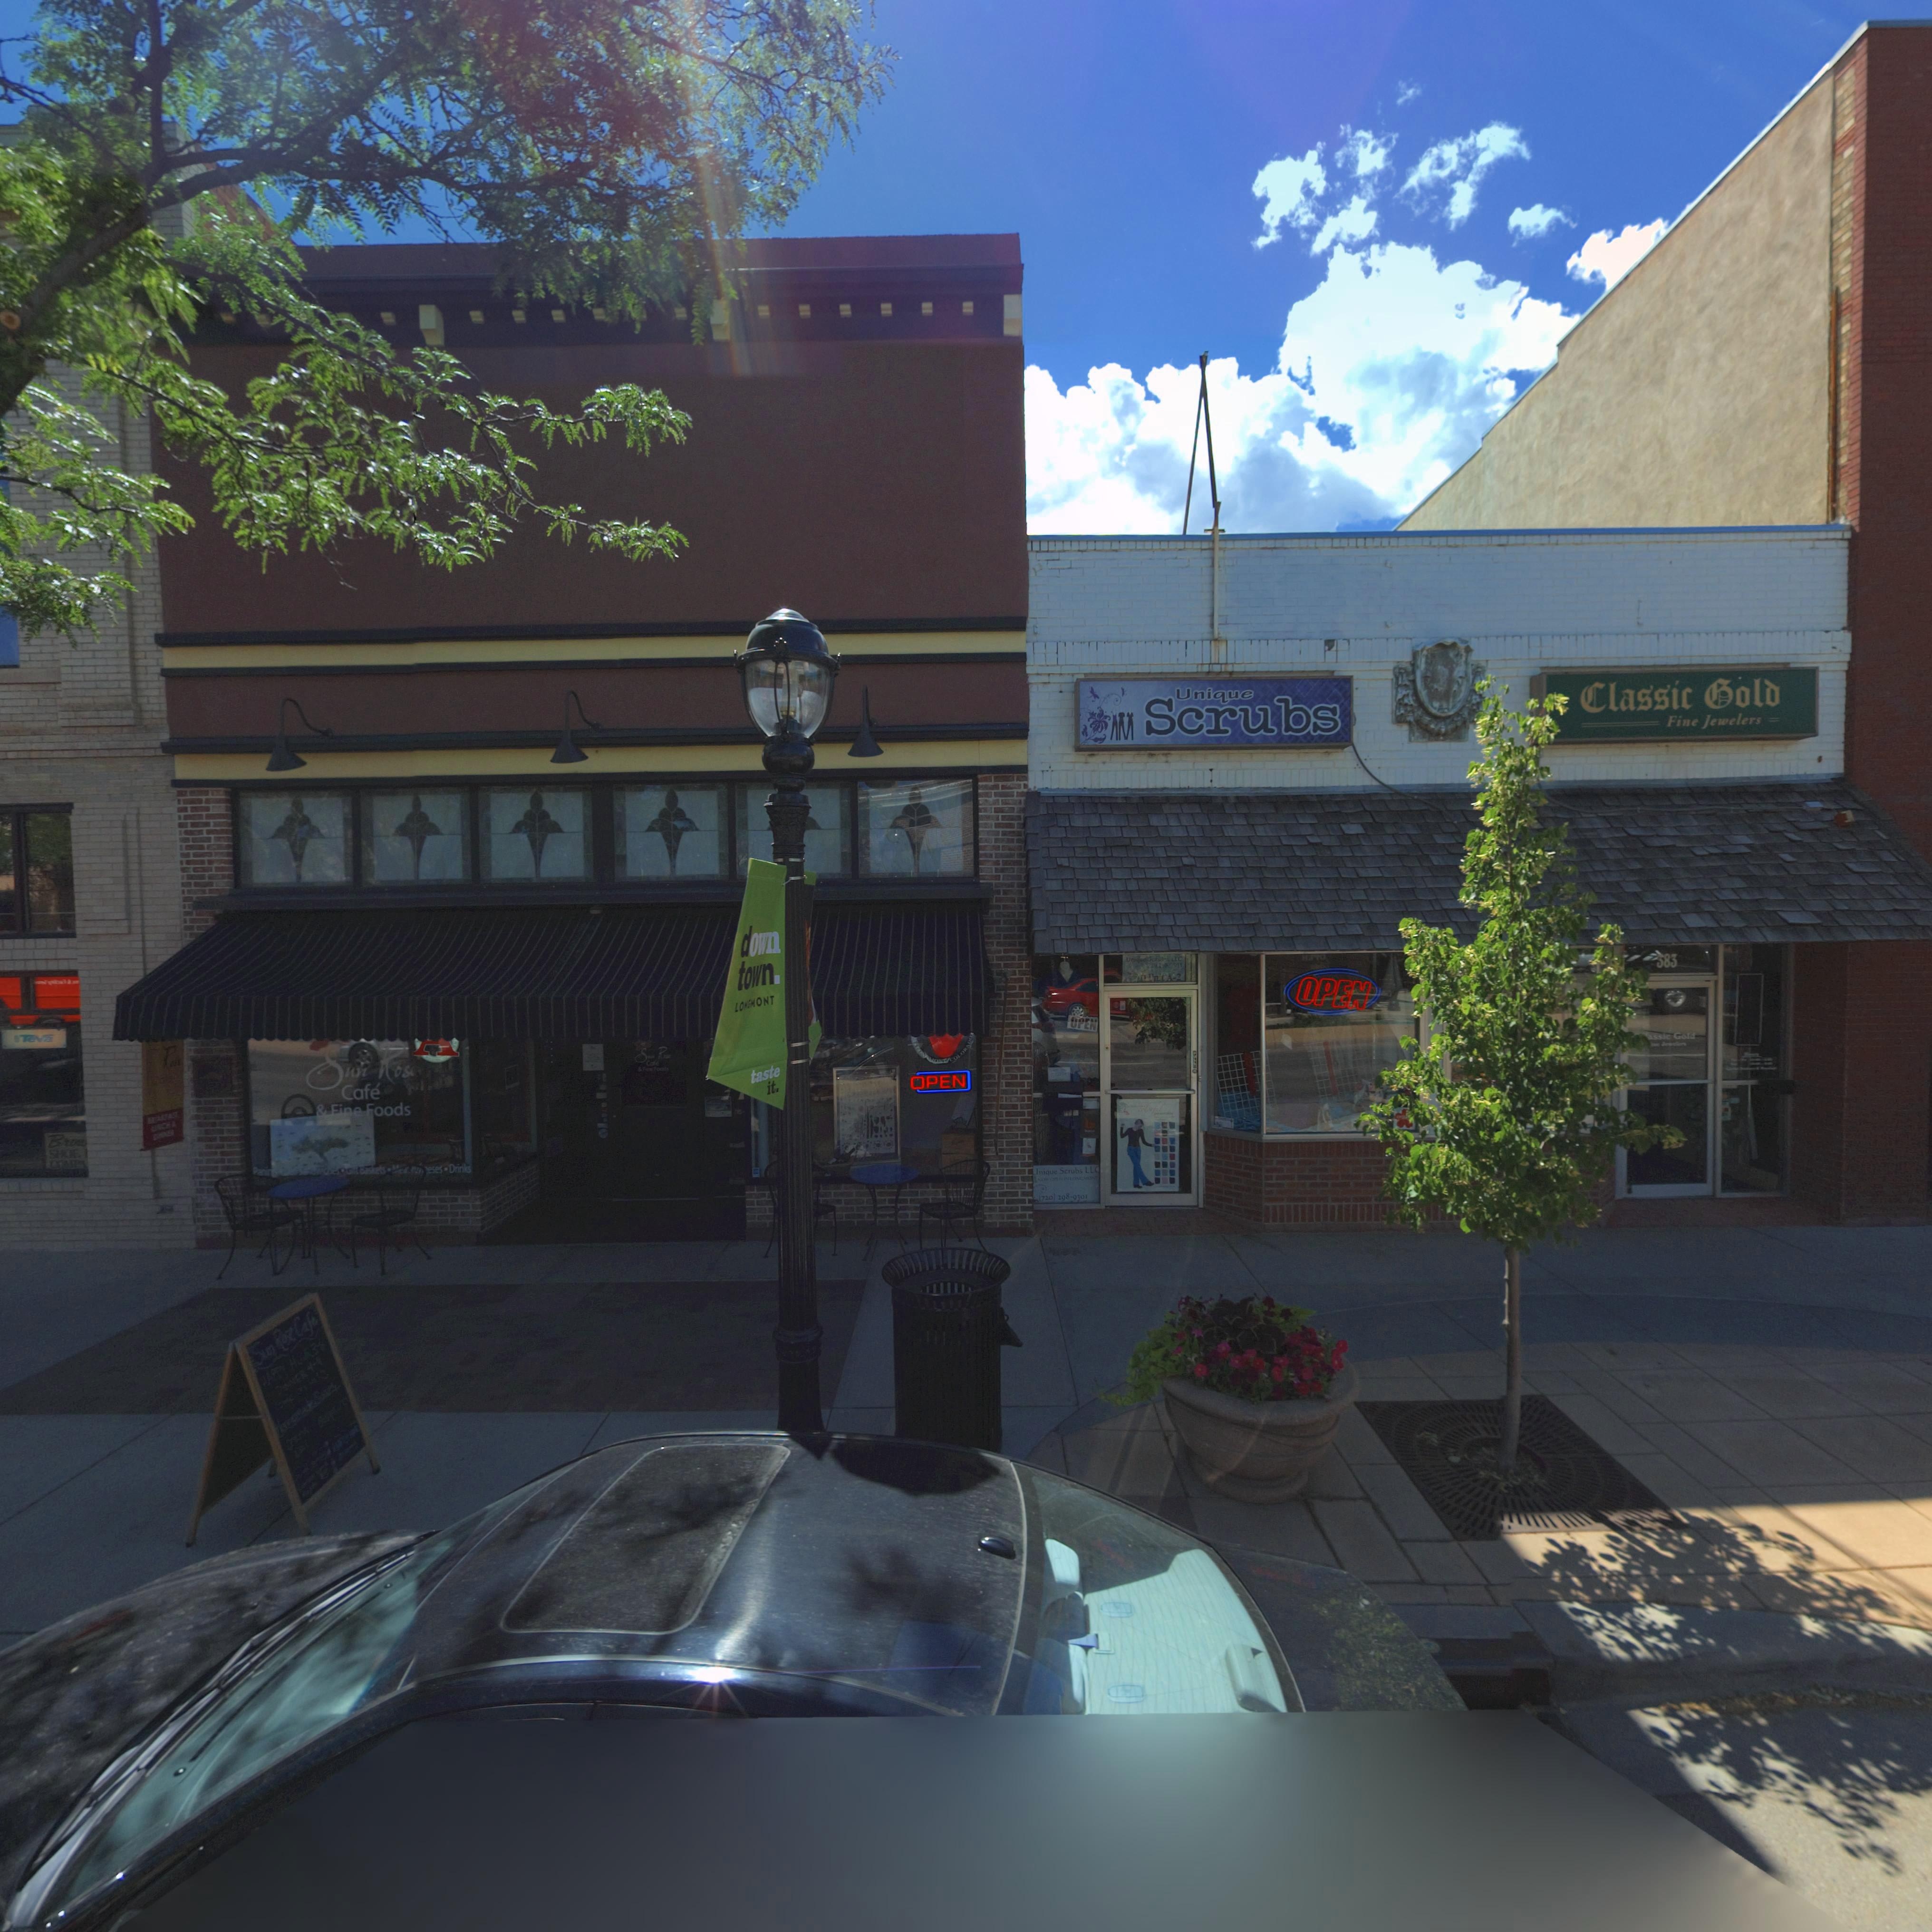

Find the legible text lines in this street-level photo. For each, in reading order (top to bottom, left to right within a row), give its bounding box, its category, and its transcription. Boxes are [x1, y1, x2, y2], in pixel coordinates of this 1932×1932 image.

[1175, 686, 1254, 704] BusinessName: Unique
[1579, 676, 1781, 714] BusinessName: Classic Gold
[1143, 695, 1341, 737] BusinessName: Scrubs
[1656, 953, 1678, 968] StreetNumber: 383
[1644, 1031, 1696, 1040] BusinessName: *assic Gold
[163, 1043, 183, 1070] BusinessName: R***
[304, 1040, 418, 1092] BusinessName: Sun Rose
[633, 1045, 672, 1063] BusinessName: S** R*se
[646, 1060, 660, 1066] BusinessName: Cafe
[340, 1082, 381, 1101] BusinessName: Cafe
[1033, 1165, 1099, 1176] BusinessName: *nique Scrubs LLC
[248, 1310, 318, 1367] BusinessName: Sun Rose Cafe